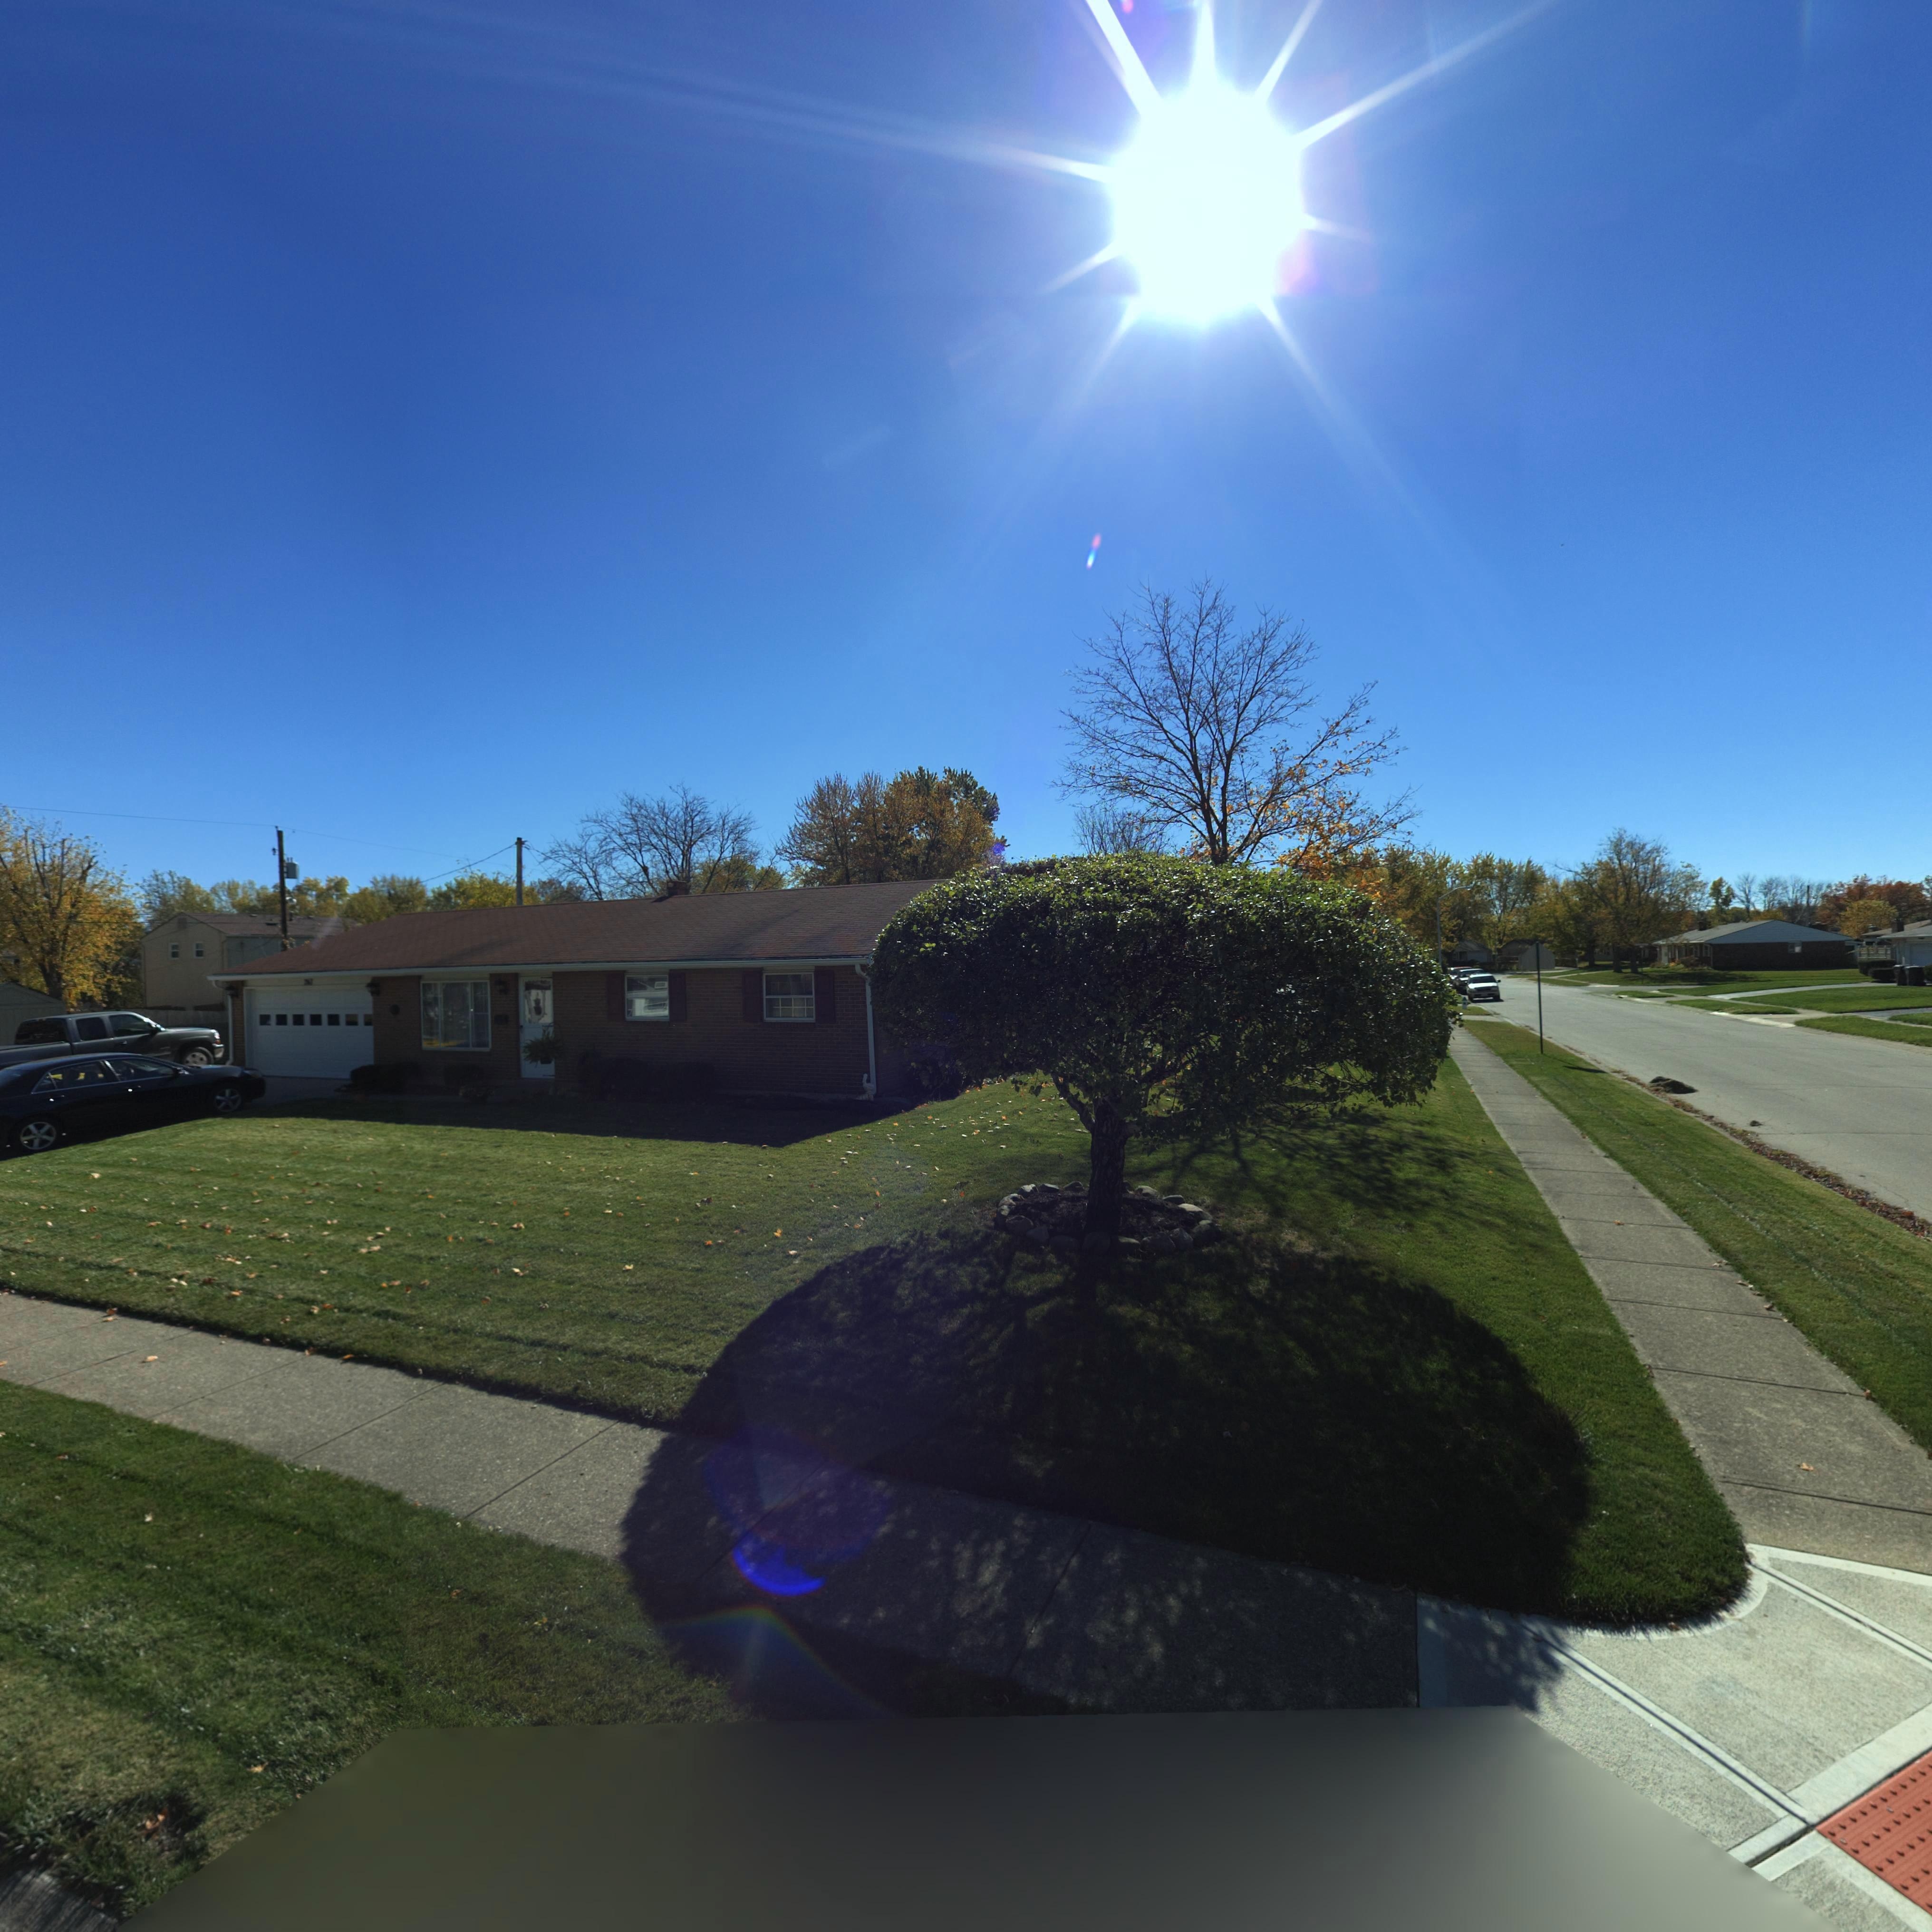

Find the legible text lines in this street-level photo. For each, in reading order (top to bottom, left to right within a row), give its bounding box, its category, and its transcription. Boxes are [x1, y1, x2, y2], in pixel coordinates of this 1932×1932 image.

[304, 978, 314, 986] StreetNumber: **7